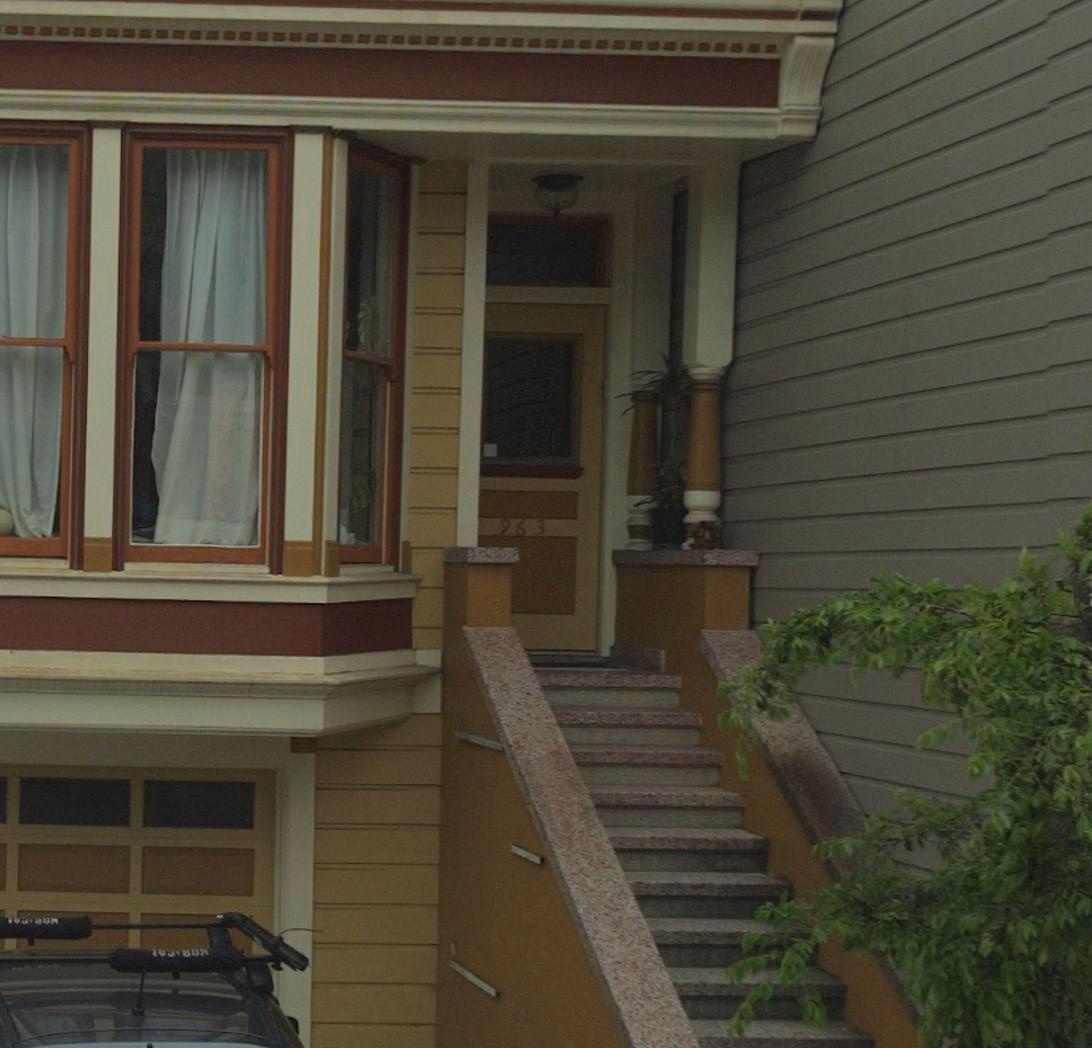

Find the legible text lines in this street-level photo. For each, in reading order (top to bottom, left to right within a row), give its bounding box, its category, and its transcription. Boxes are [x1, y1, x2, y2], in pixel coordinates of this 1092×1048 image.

[498, 517, 546, 537] StreetNumber: 963